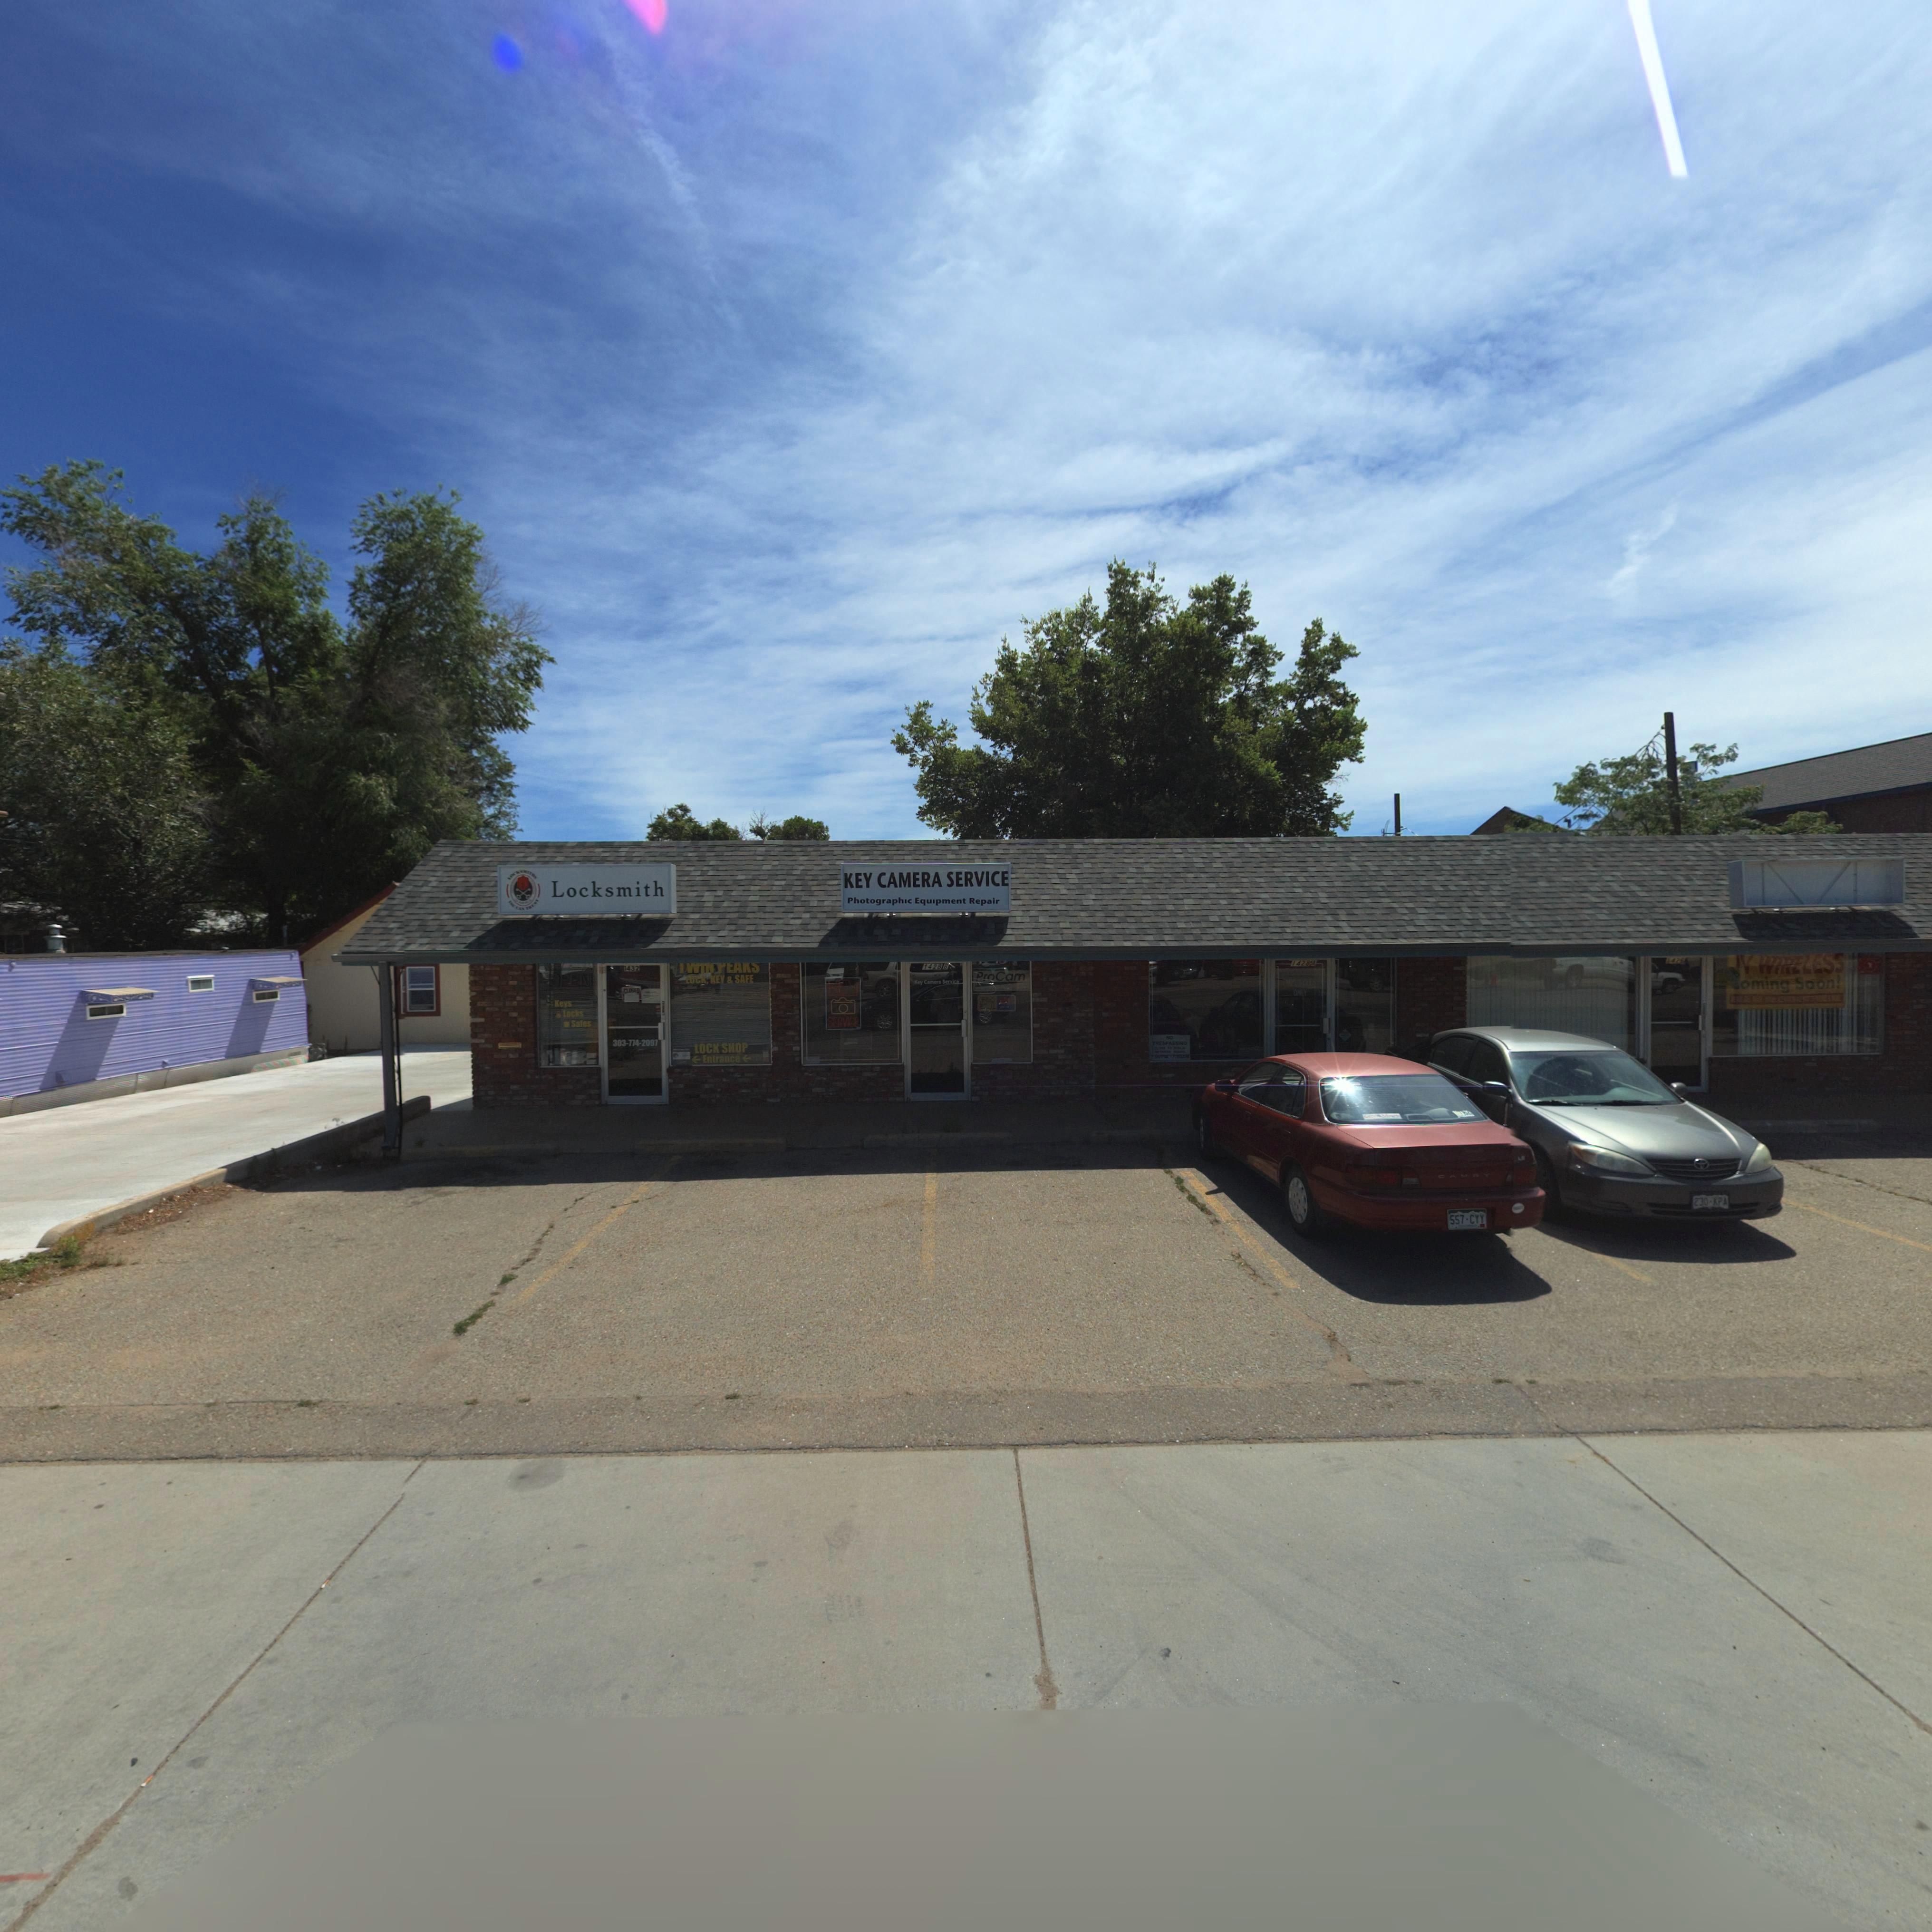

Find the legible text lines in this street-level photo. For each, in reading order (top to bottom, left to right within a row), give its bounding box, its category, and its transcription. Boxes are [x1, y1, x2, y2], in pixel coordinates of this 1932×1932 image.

[843, 870, 1010, 889] BusinessName: KEY CAMERA SERVICE
[847, 896, 1002, 908] BusinessName: Photographic Equipment Repair
[623, 965, 640, 972] StreetNumber: 1432
[922, 963, 949, 970] StreetNumber: 1428 B
[1291, 960, 1316, 966] StreetNumber: 1428*
[1665, 957, 1684, 964] StreetNumber: 1426
[913, 978, 959, 986] BusinessName: Key C*mera Servic*